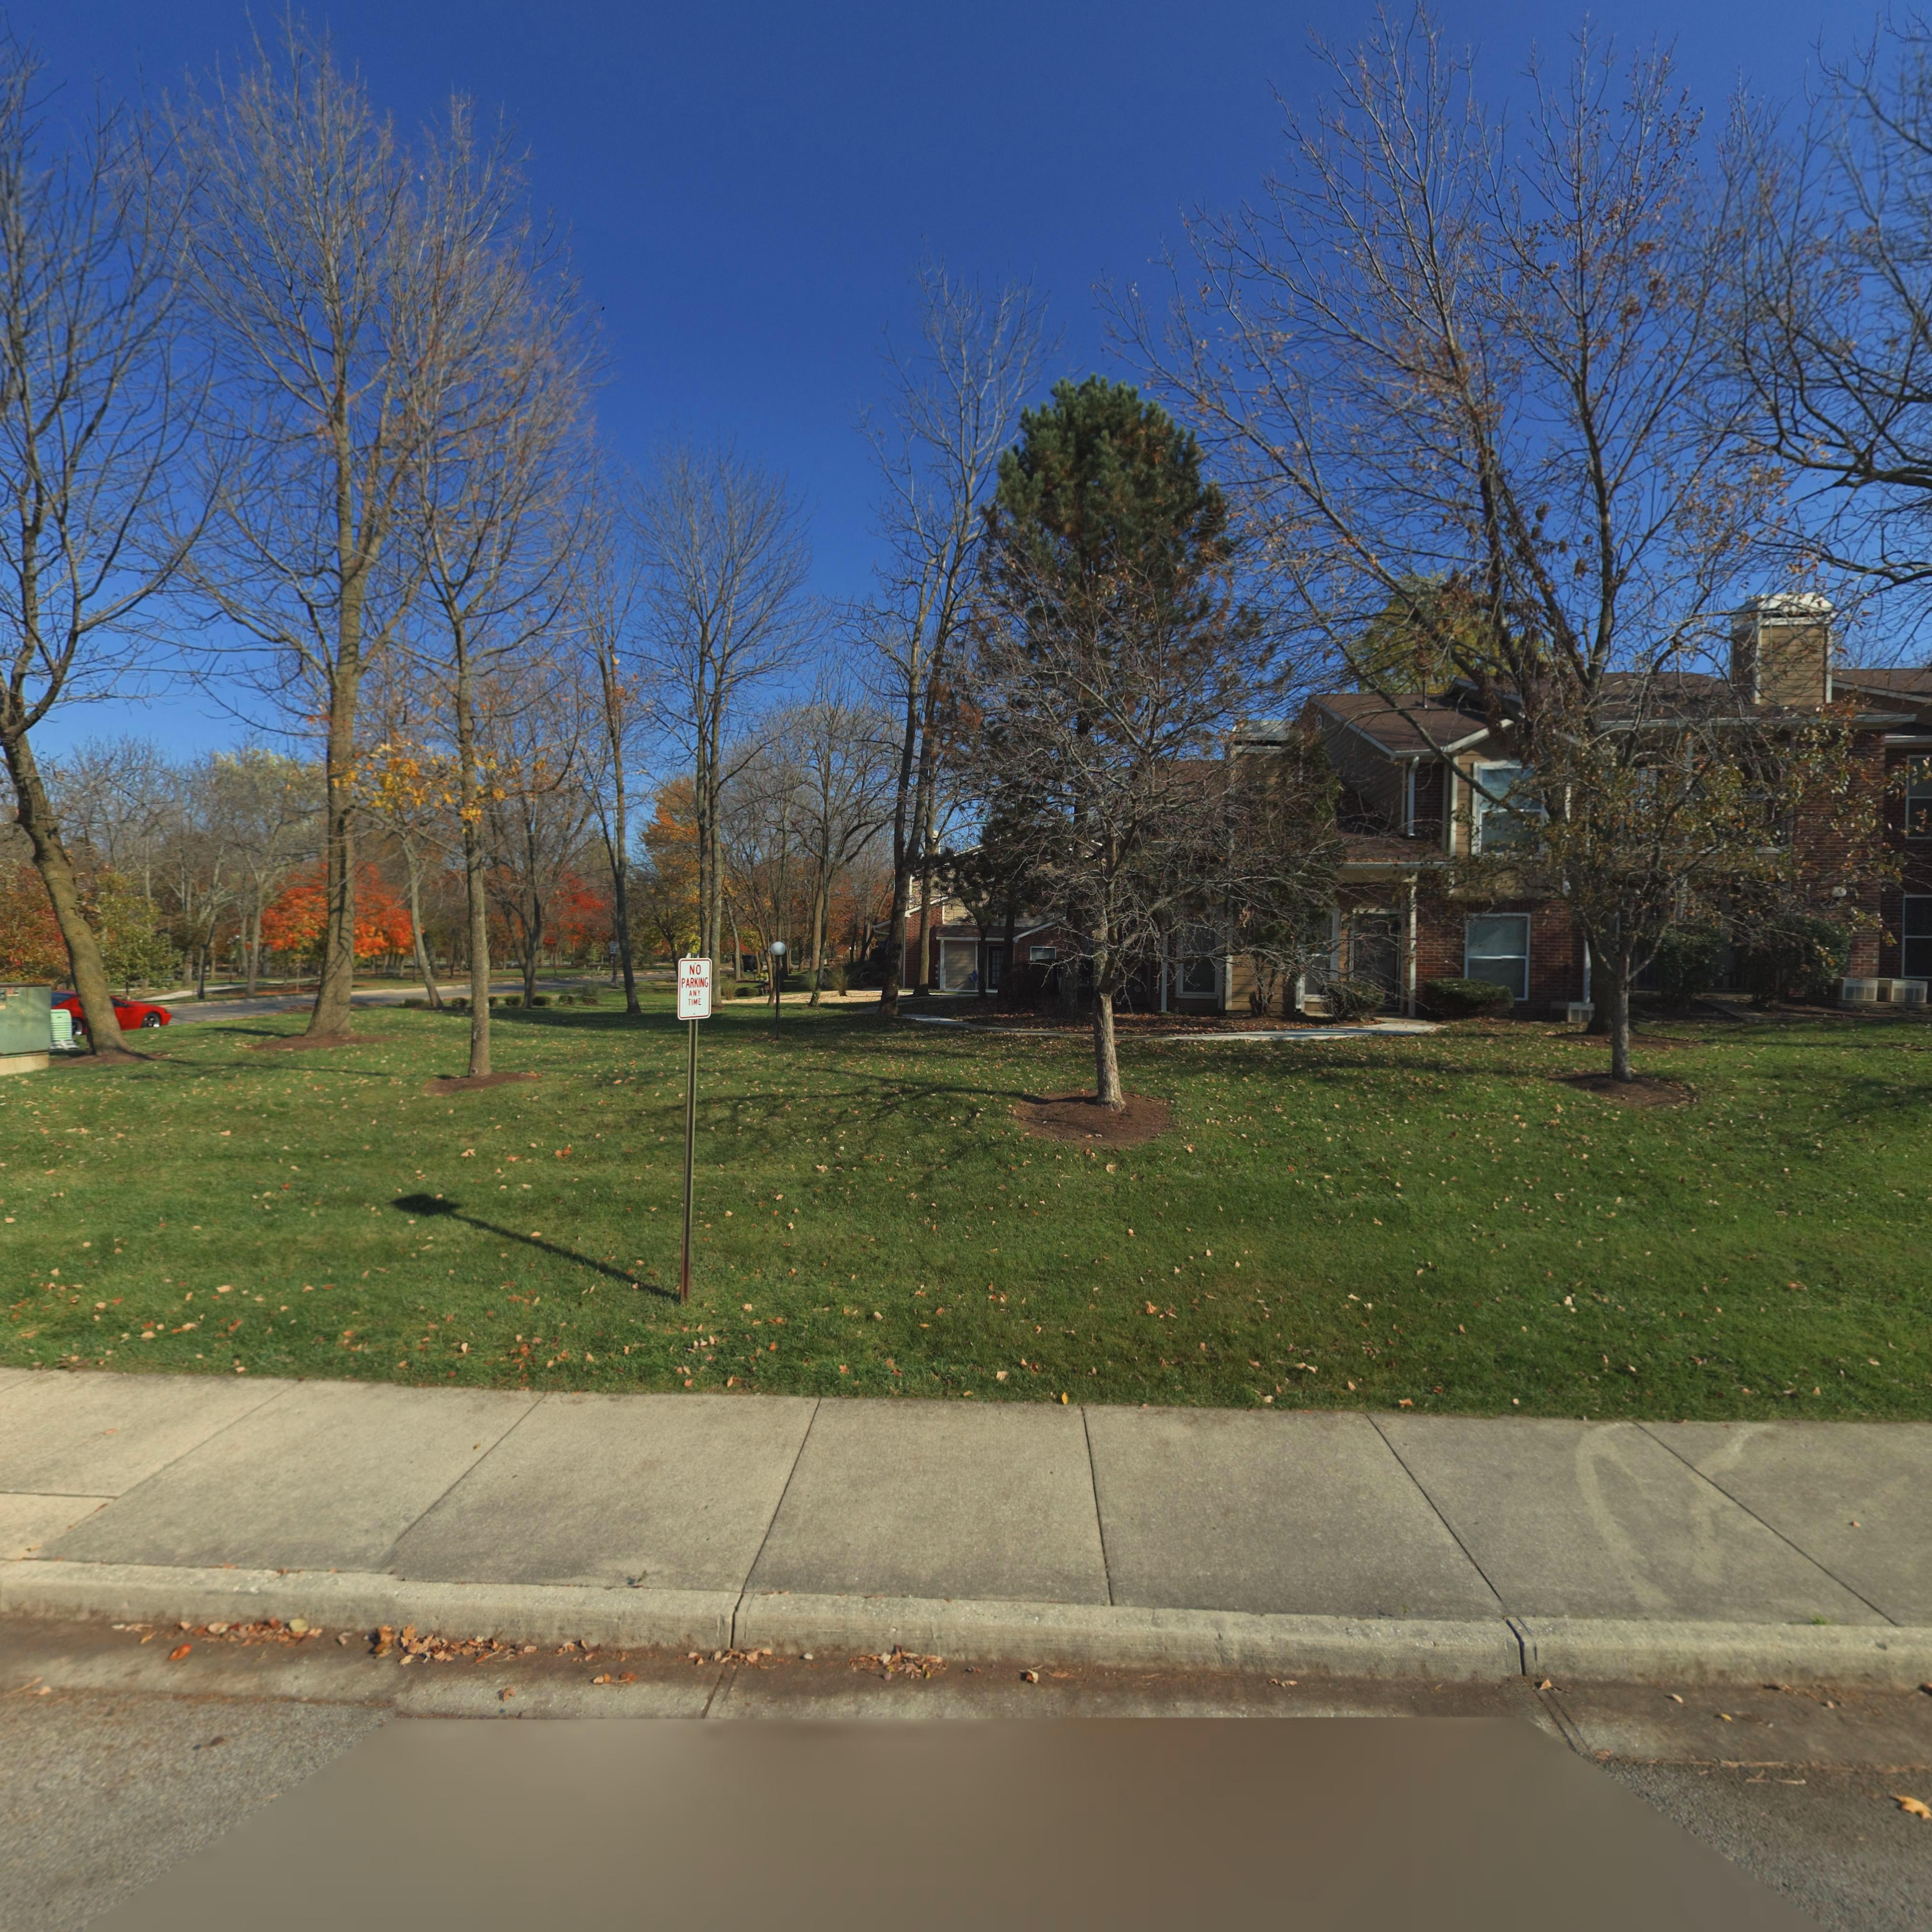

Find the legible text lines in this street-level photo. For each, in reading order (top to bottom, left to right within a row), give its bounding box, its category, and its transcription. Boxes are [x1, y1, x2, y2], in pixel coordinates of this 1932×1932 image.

[610, 947, 619, 953] None: 25
[689, 964, 701, 975] None: NO
[681, 977, 709, 989] None: PARKING
[689, 989, 701, 997] None: ANY
[688, 997, 702, 1006] None: TIME